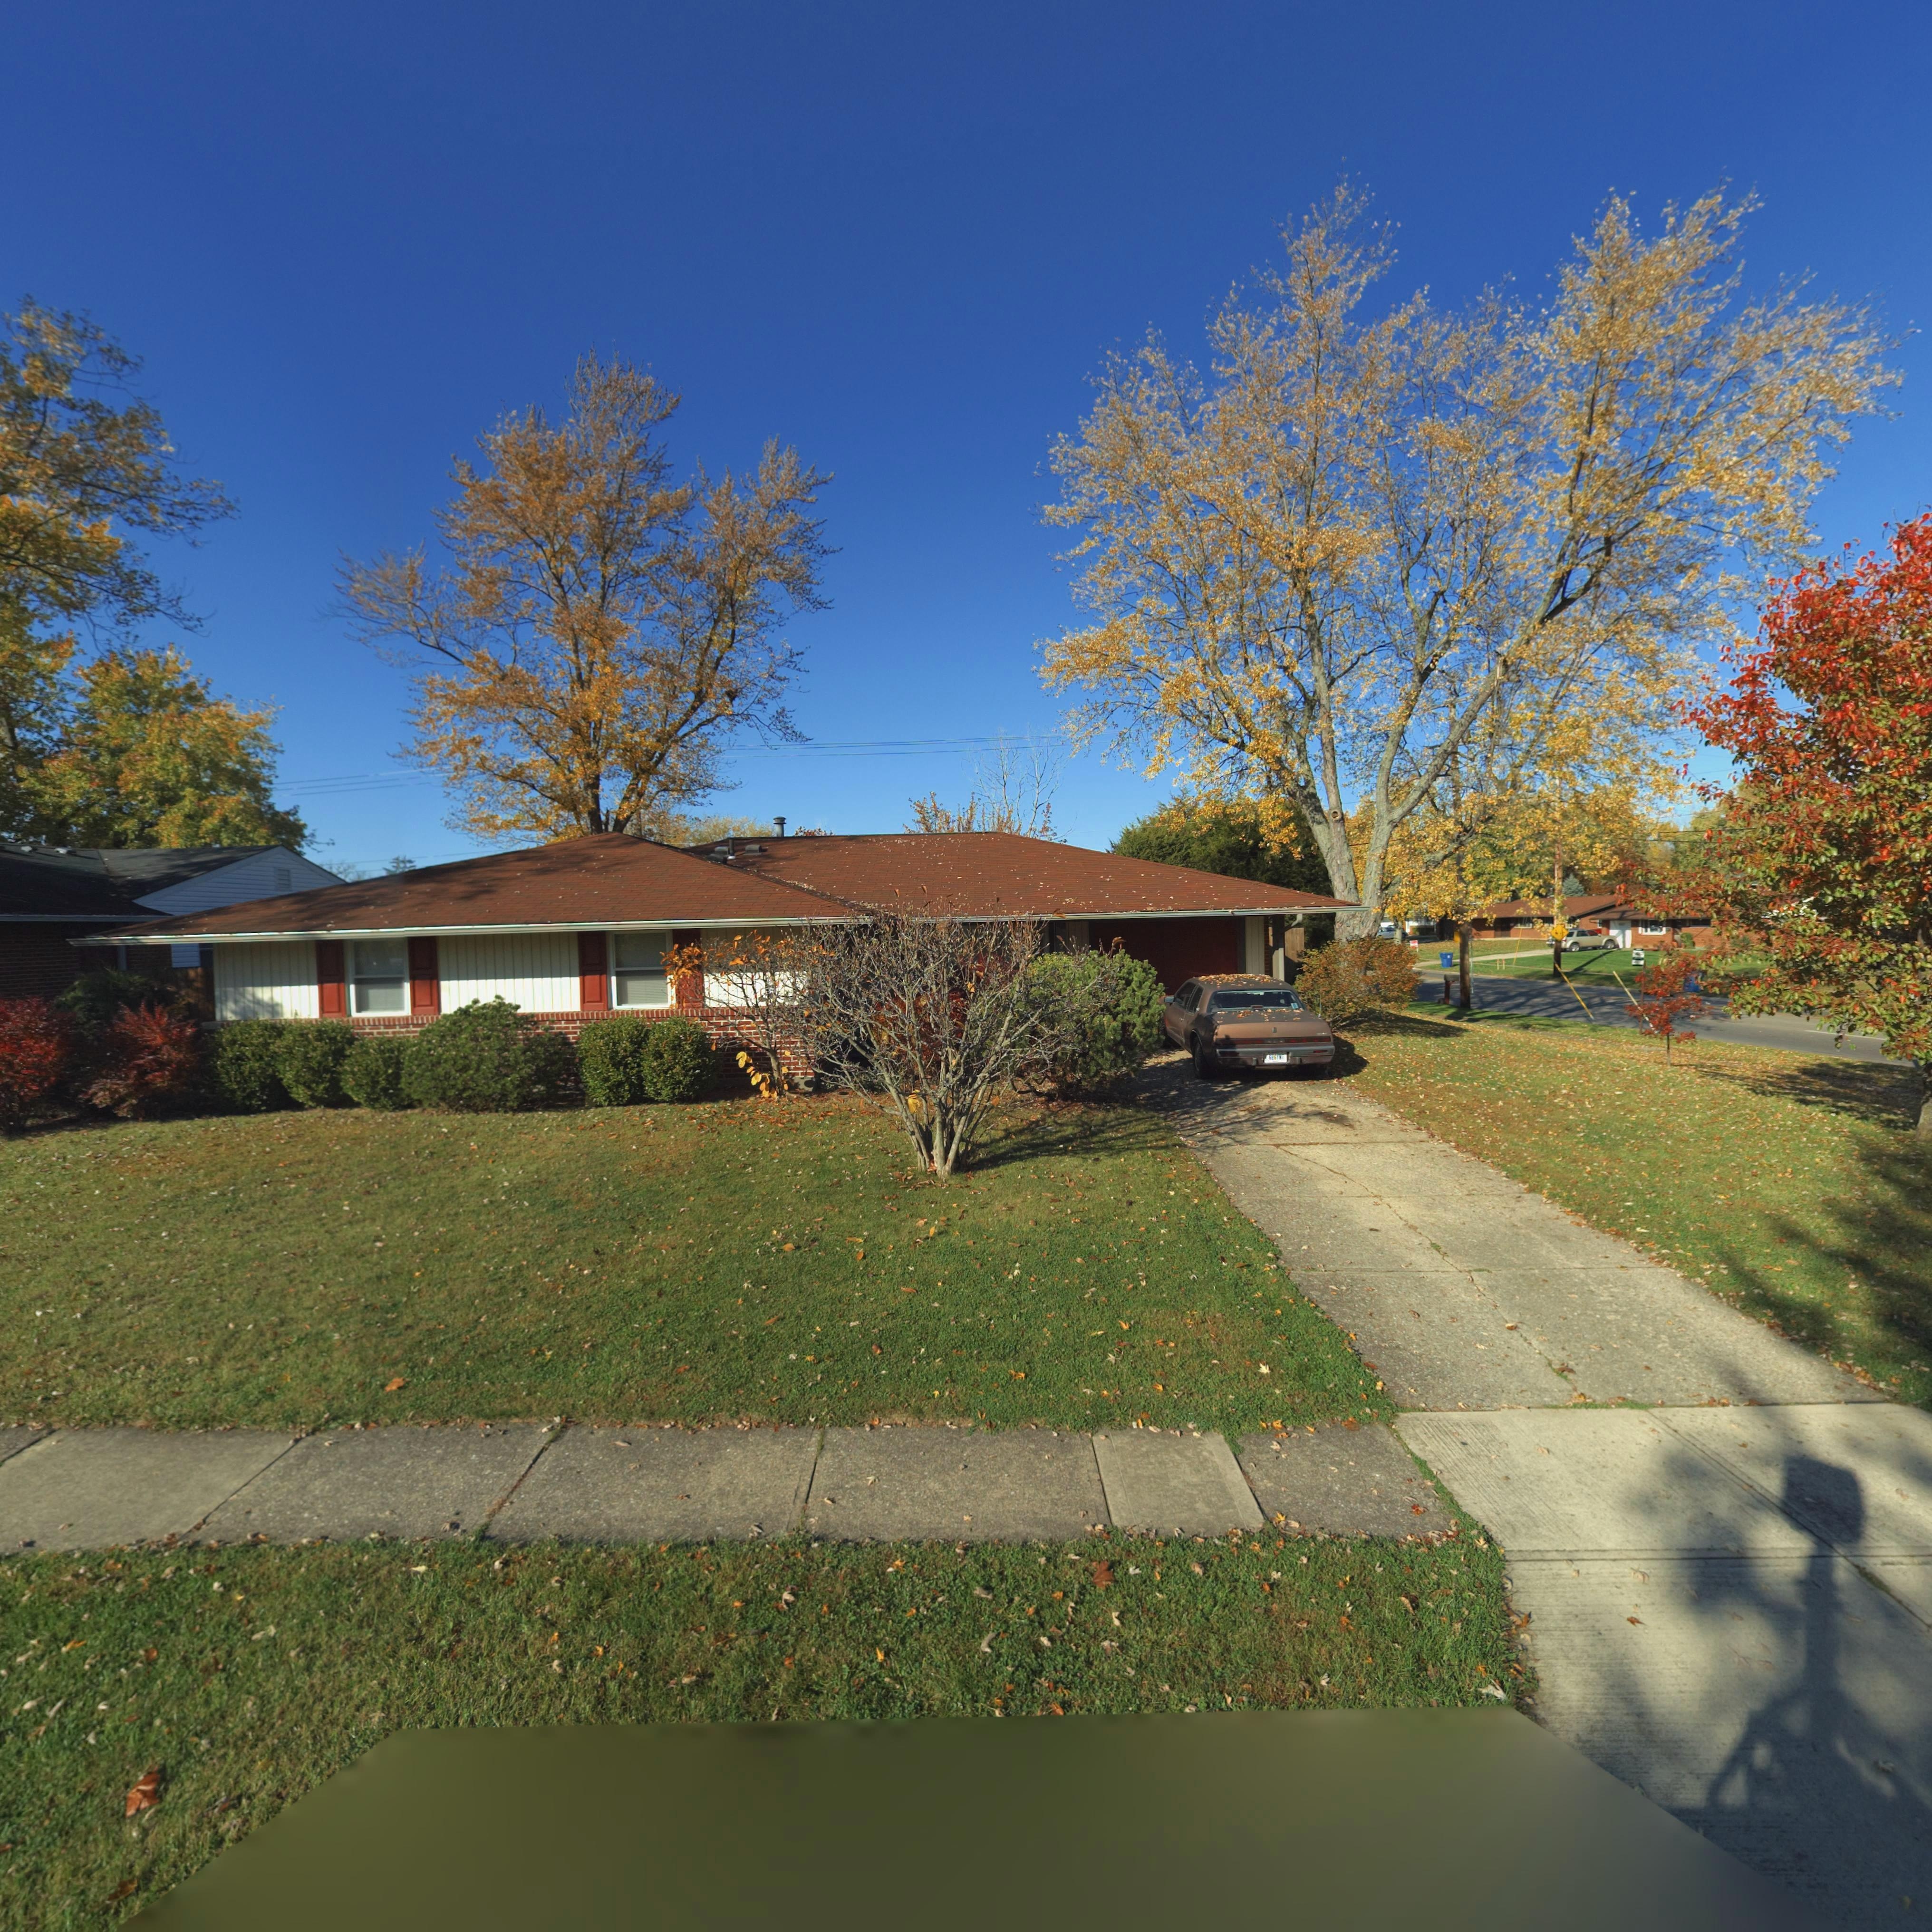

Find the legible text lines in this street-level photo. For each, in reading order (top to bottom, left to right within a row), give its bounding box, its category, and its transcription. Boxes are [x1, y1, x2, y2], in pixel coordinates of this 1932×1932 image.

[1058, 943, 1065, 950] StreetNumber: 7